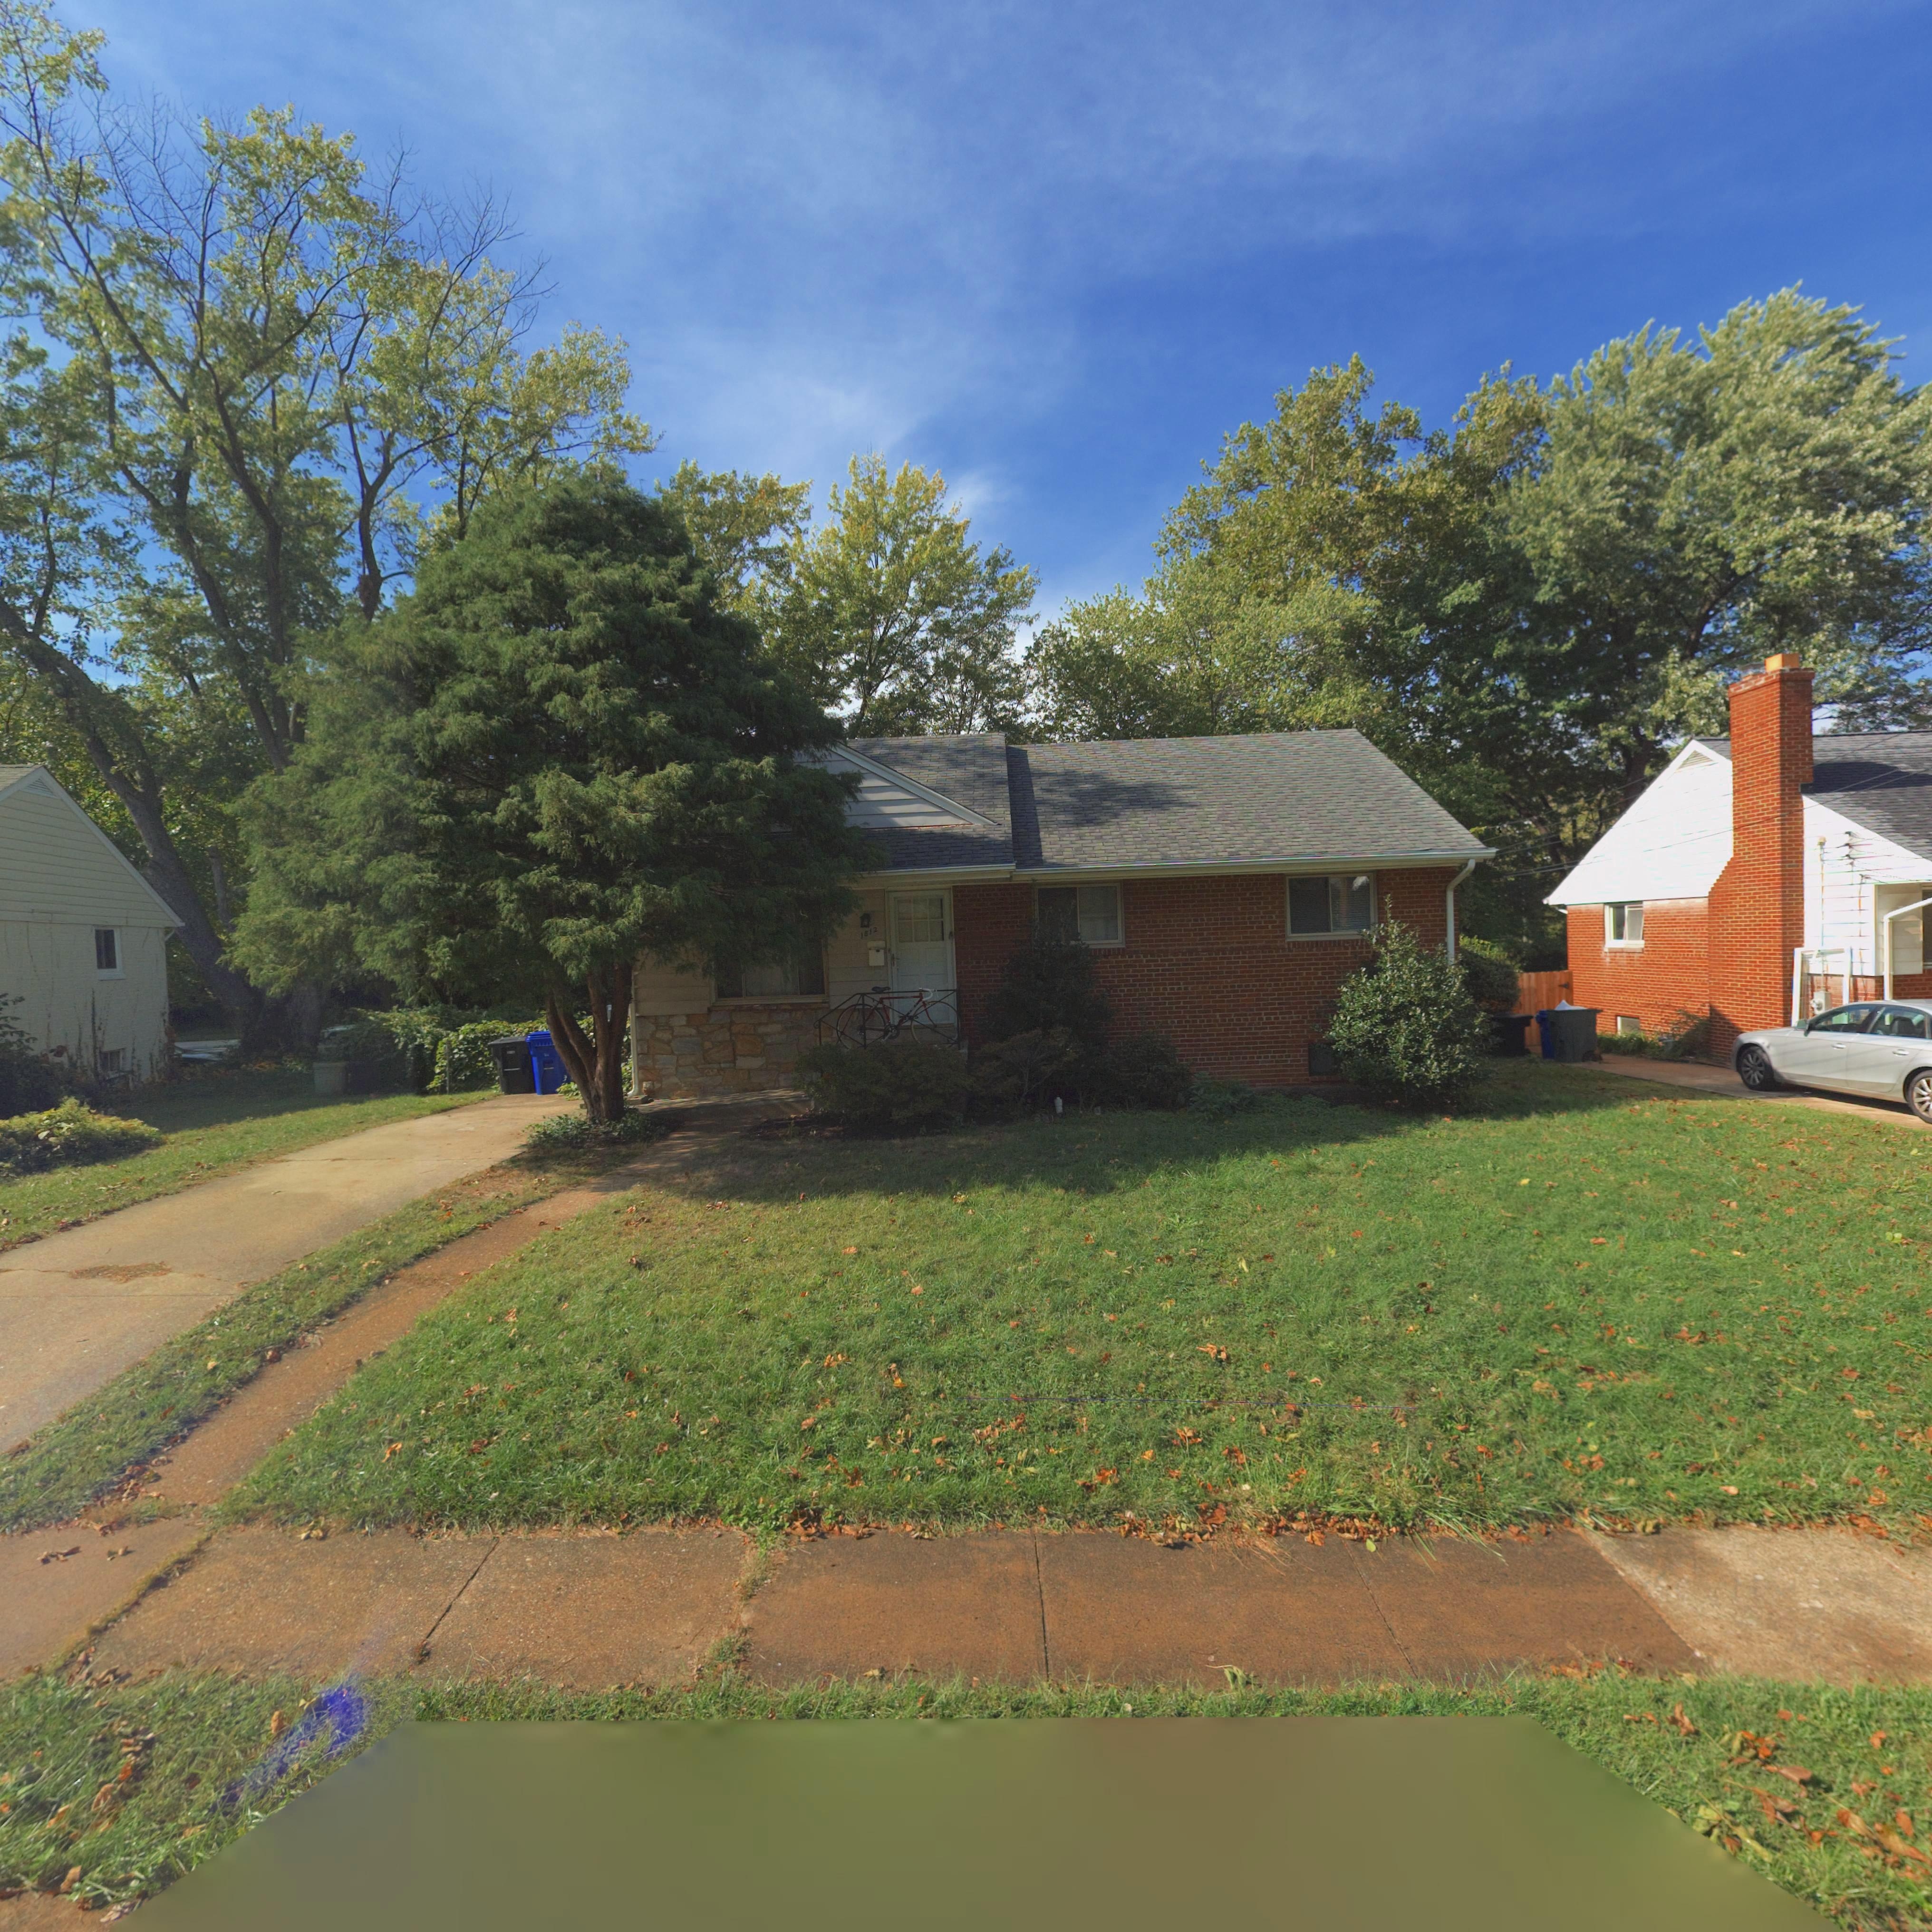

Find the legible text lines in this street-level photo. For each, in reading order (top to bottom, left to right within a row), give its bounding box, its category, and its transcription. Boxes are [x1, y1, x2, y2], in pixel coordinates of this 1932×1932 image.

[860, 925, 878, 940] StreetNumber: 1812